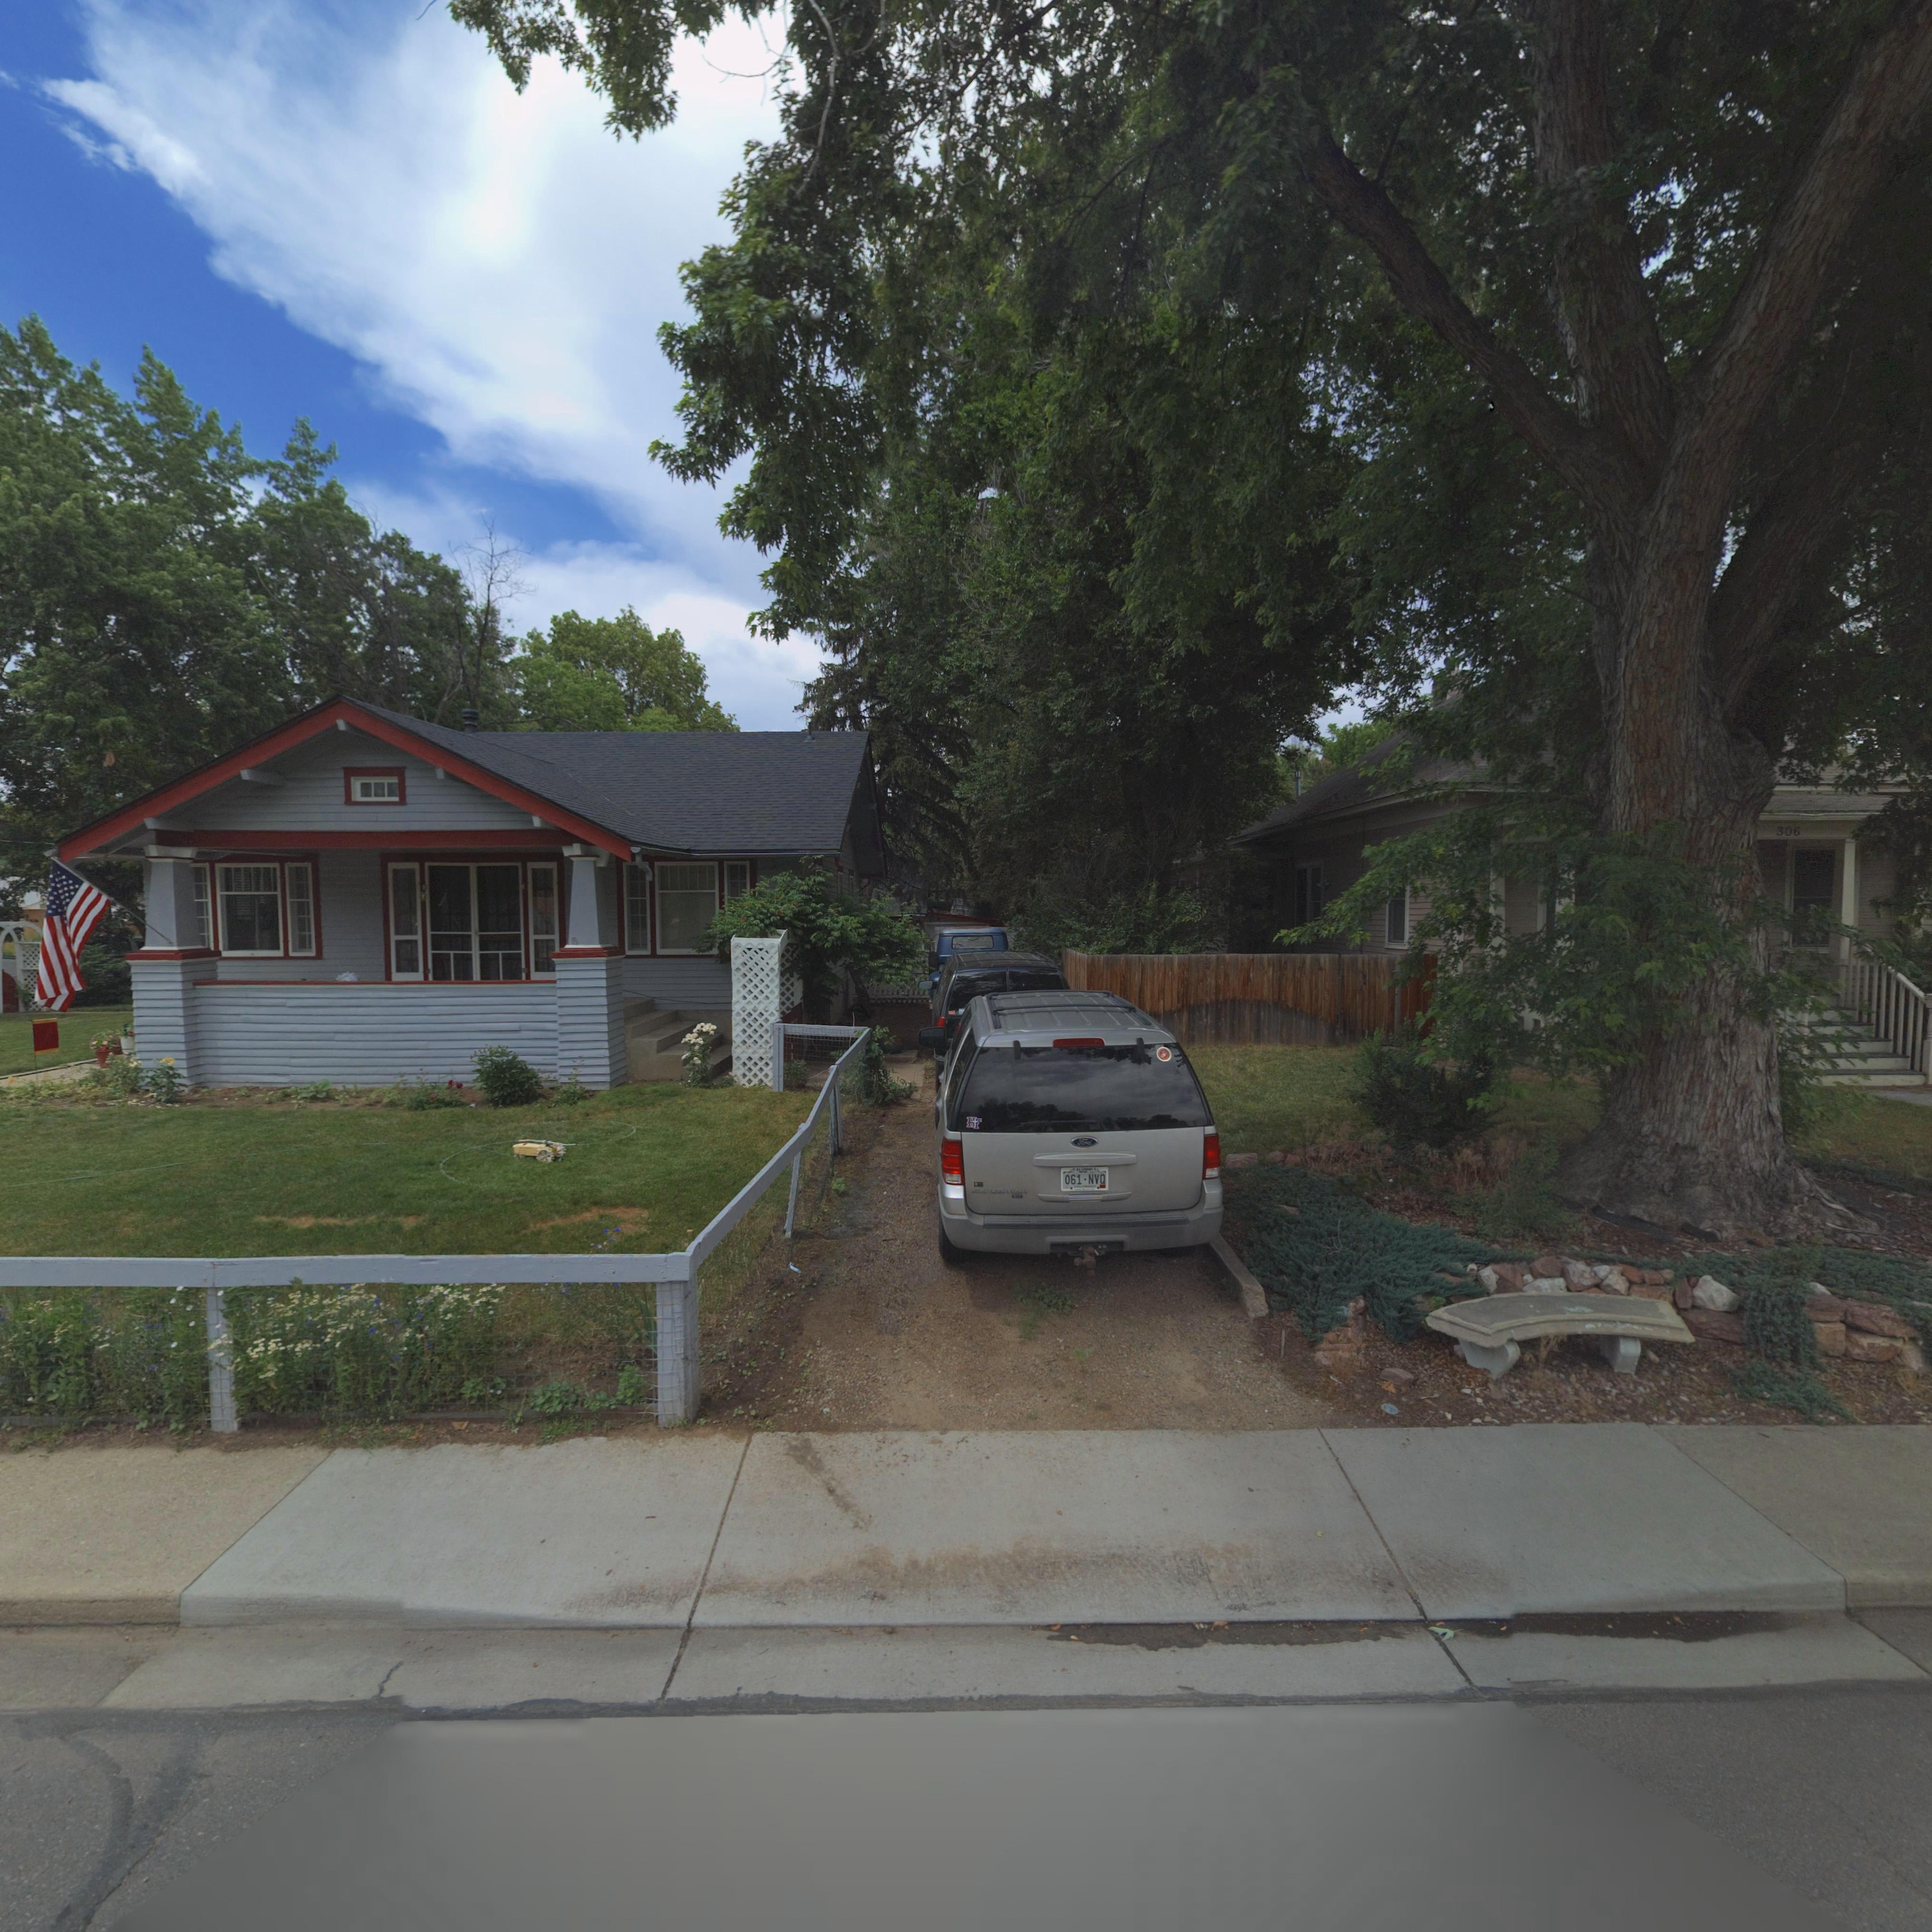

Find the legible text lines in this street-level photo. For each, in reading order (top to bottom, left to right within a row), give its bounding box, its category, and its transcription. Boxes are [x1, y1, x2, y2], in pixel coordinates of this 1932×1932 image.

[1777, 826, 1801, 836] StreetNumber: 306